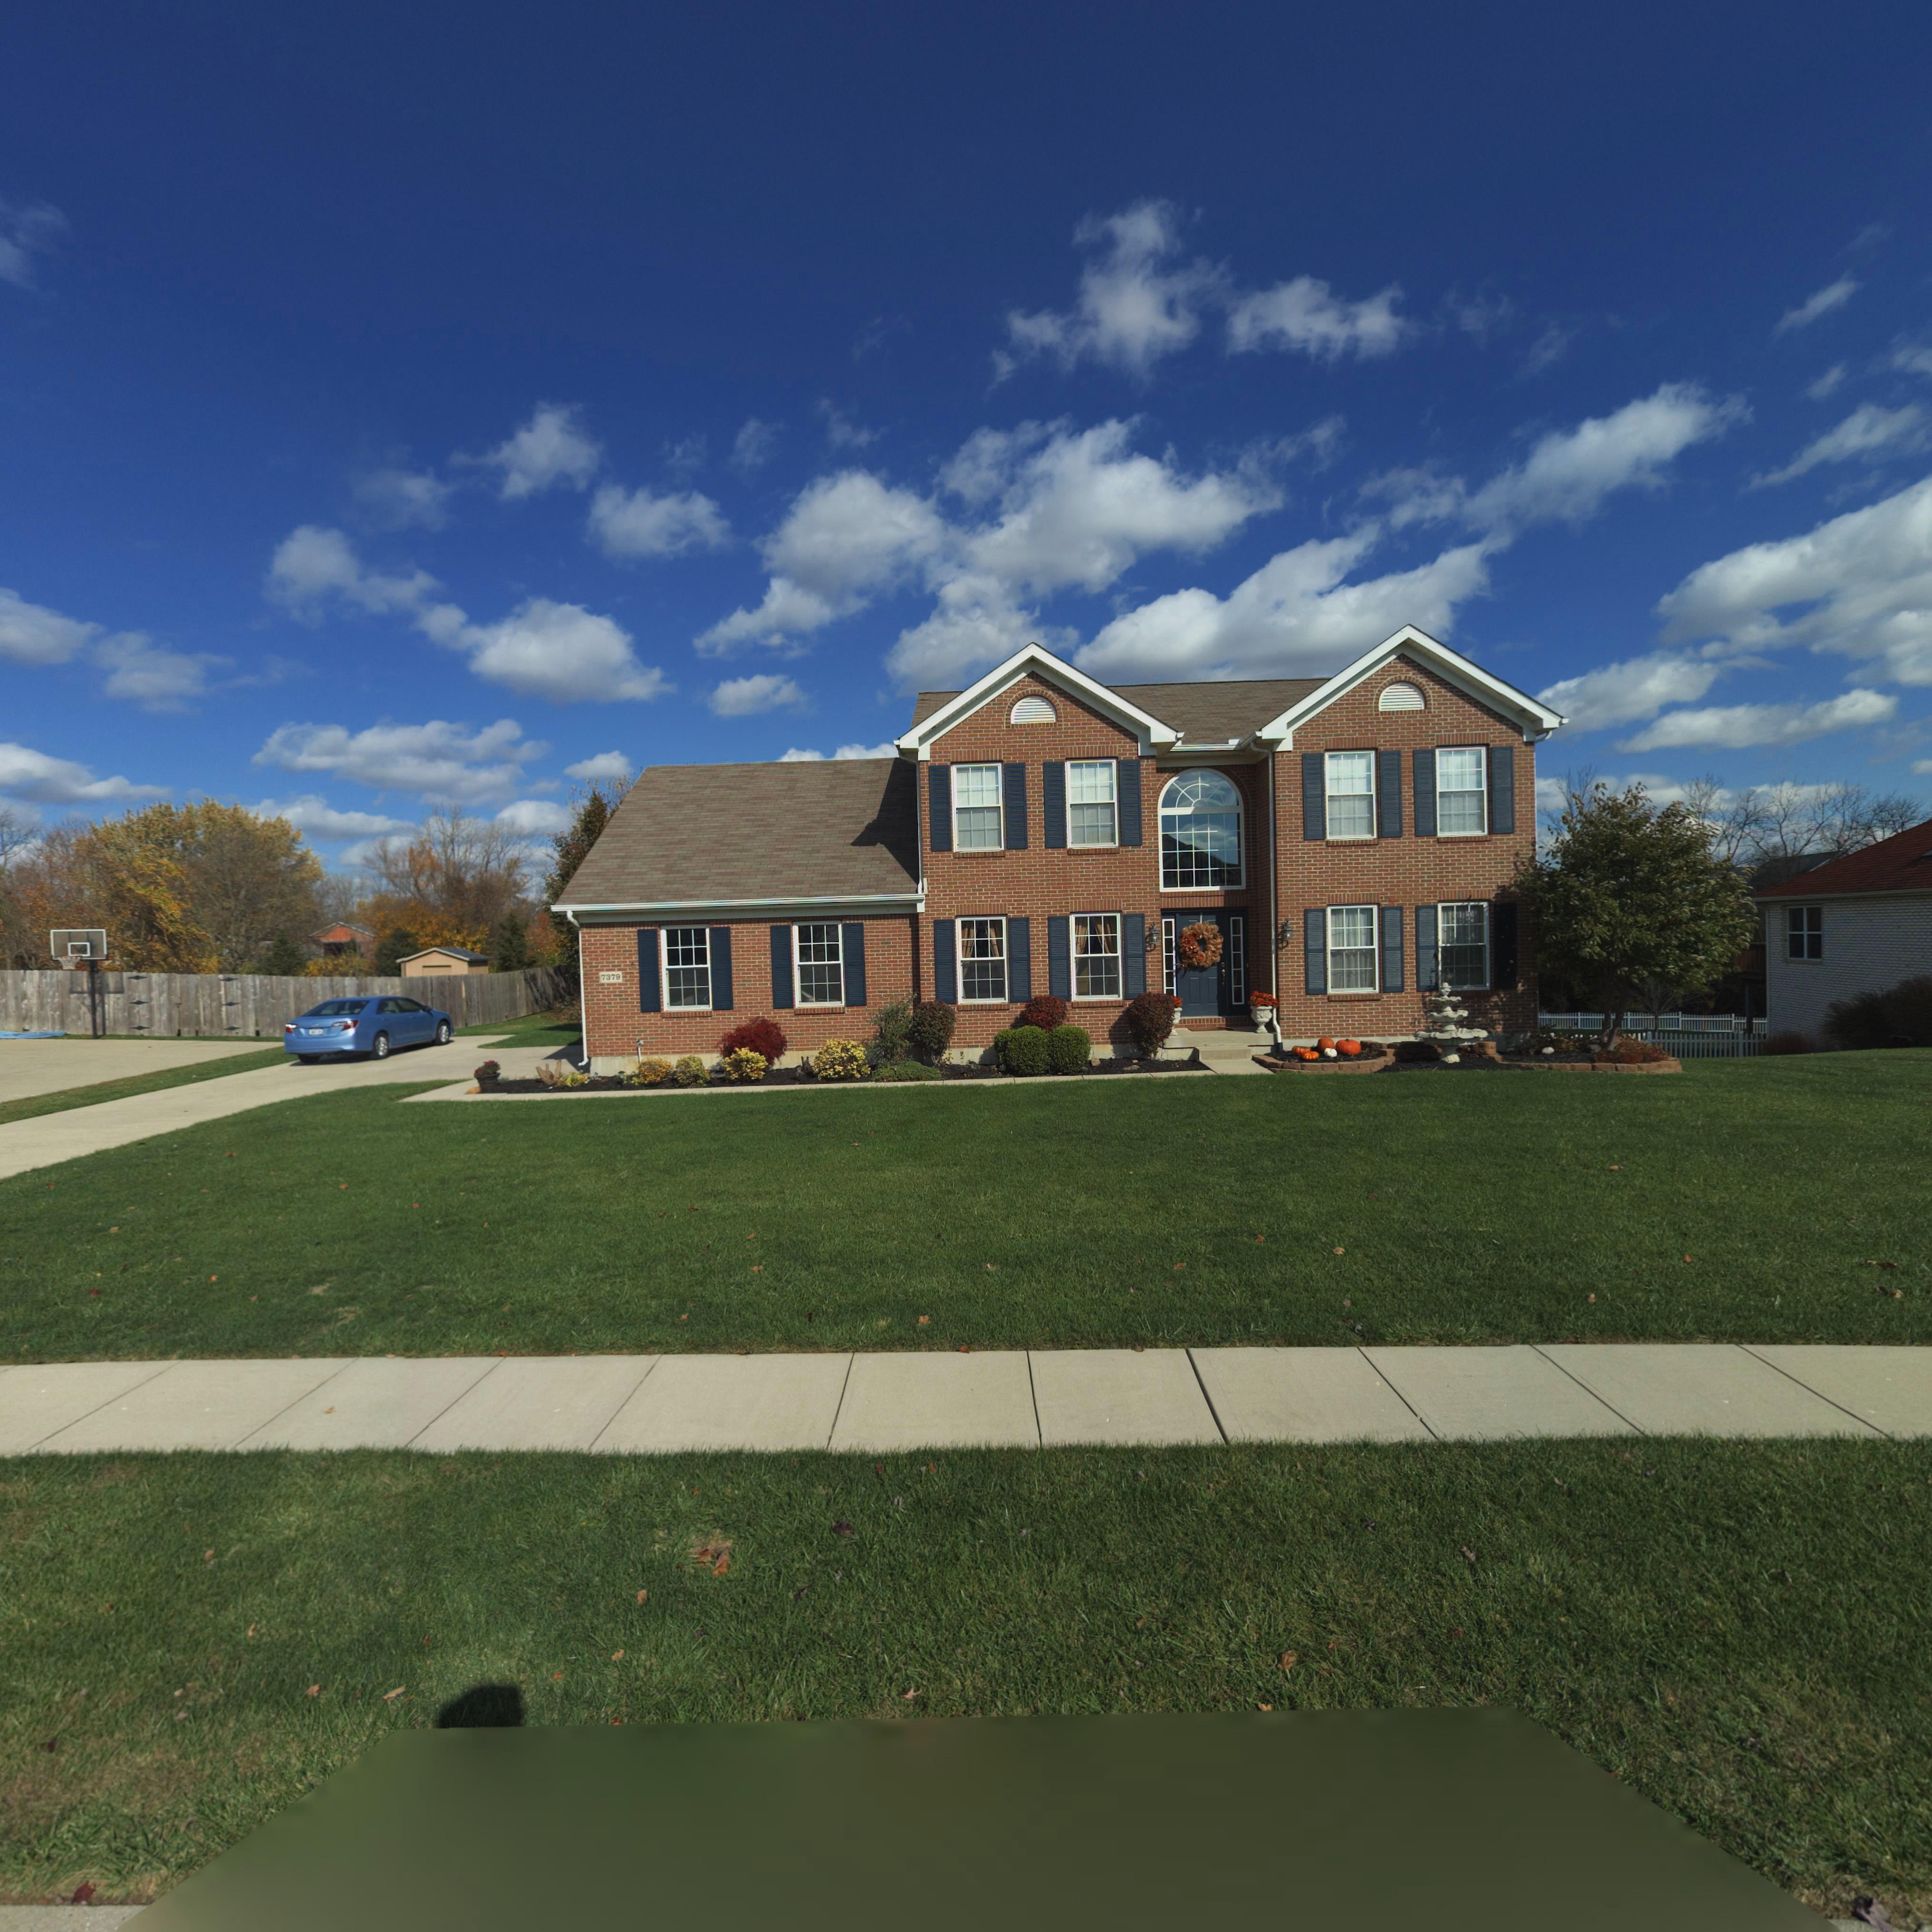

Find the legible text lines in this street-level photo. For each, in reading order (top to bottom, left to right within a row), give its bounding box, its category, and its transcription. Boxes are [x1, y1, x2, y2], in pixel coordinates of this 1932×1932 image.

[600, 973, 621, 981] StreetNumber: 7379